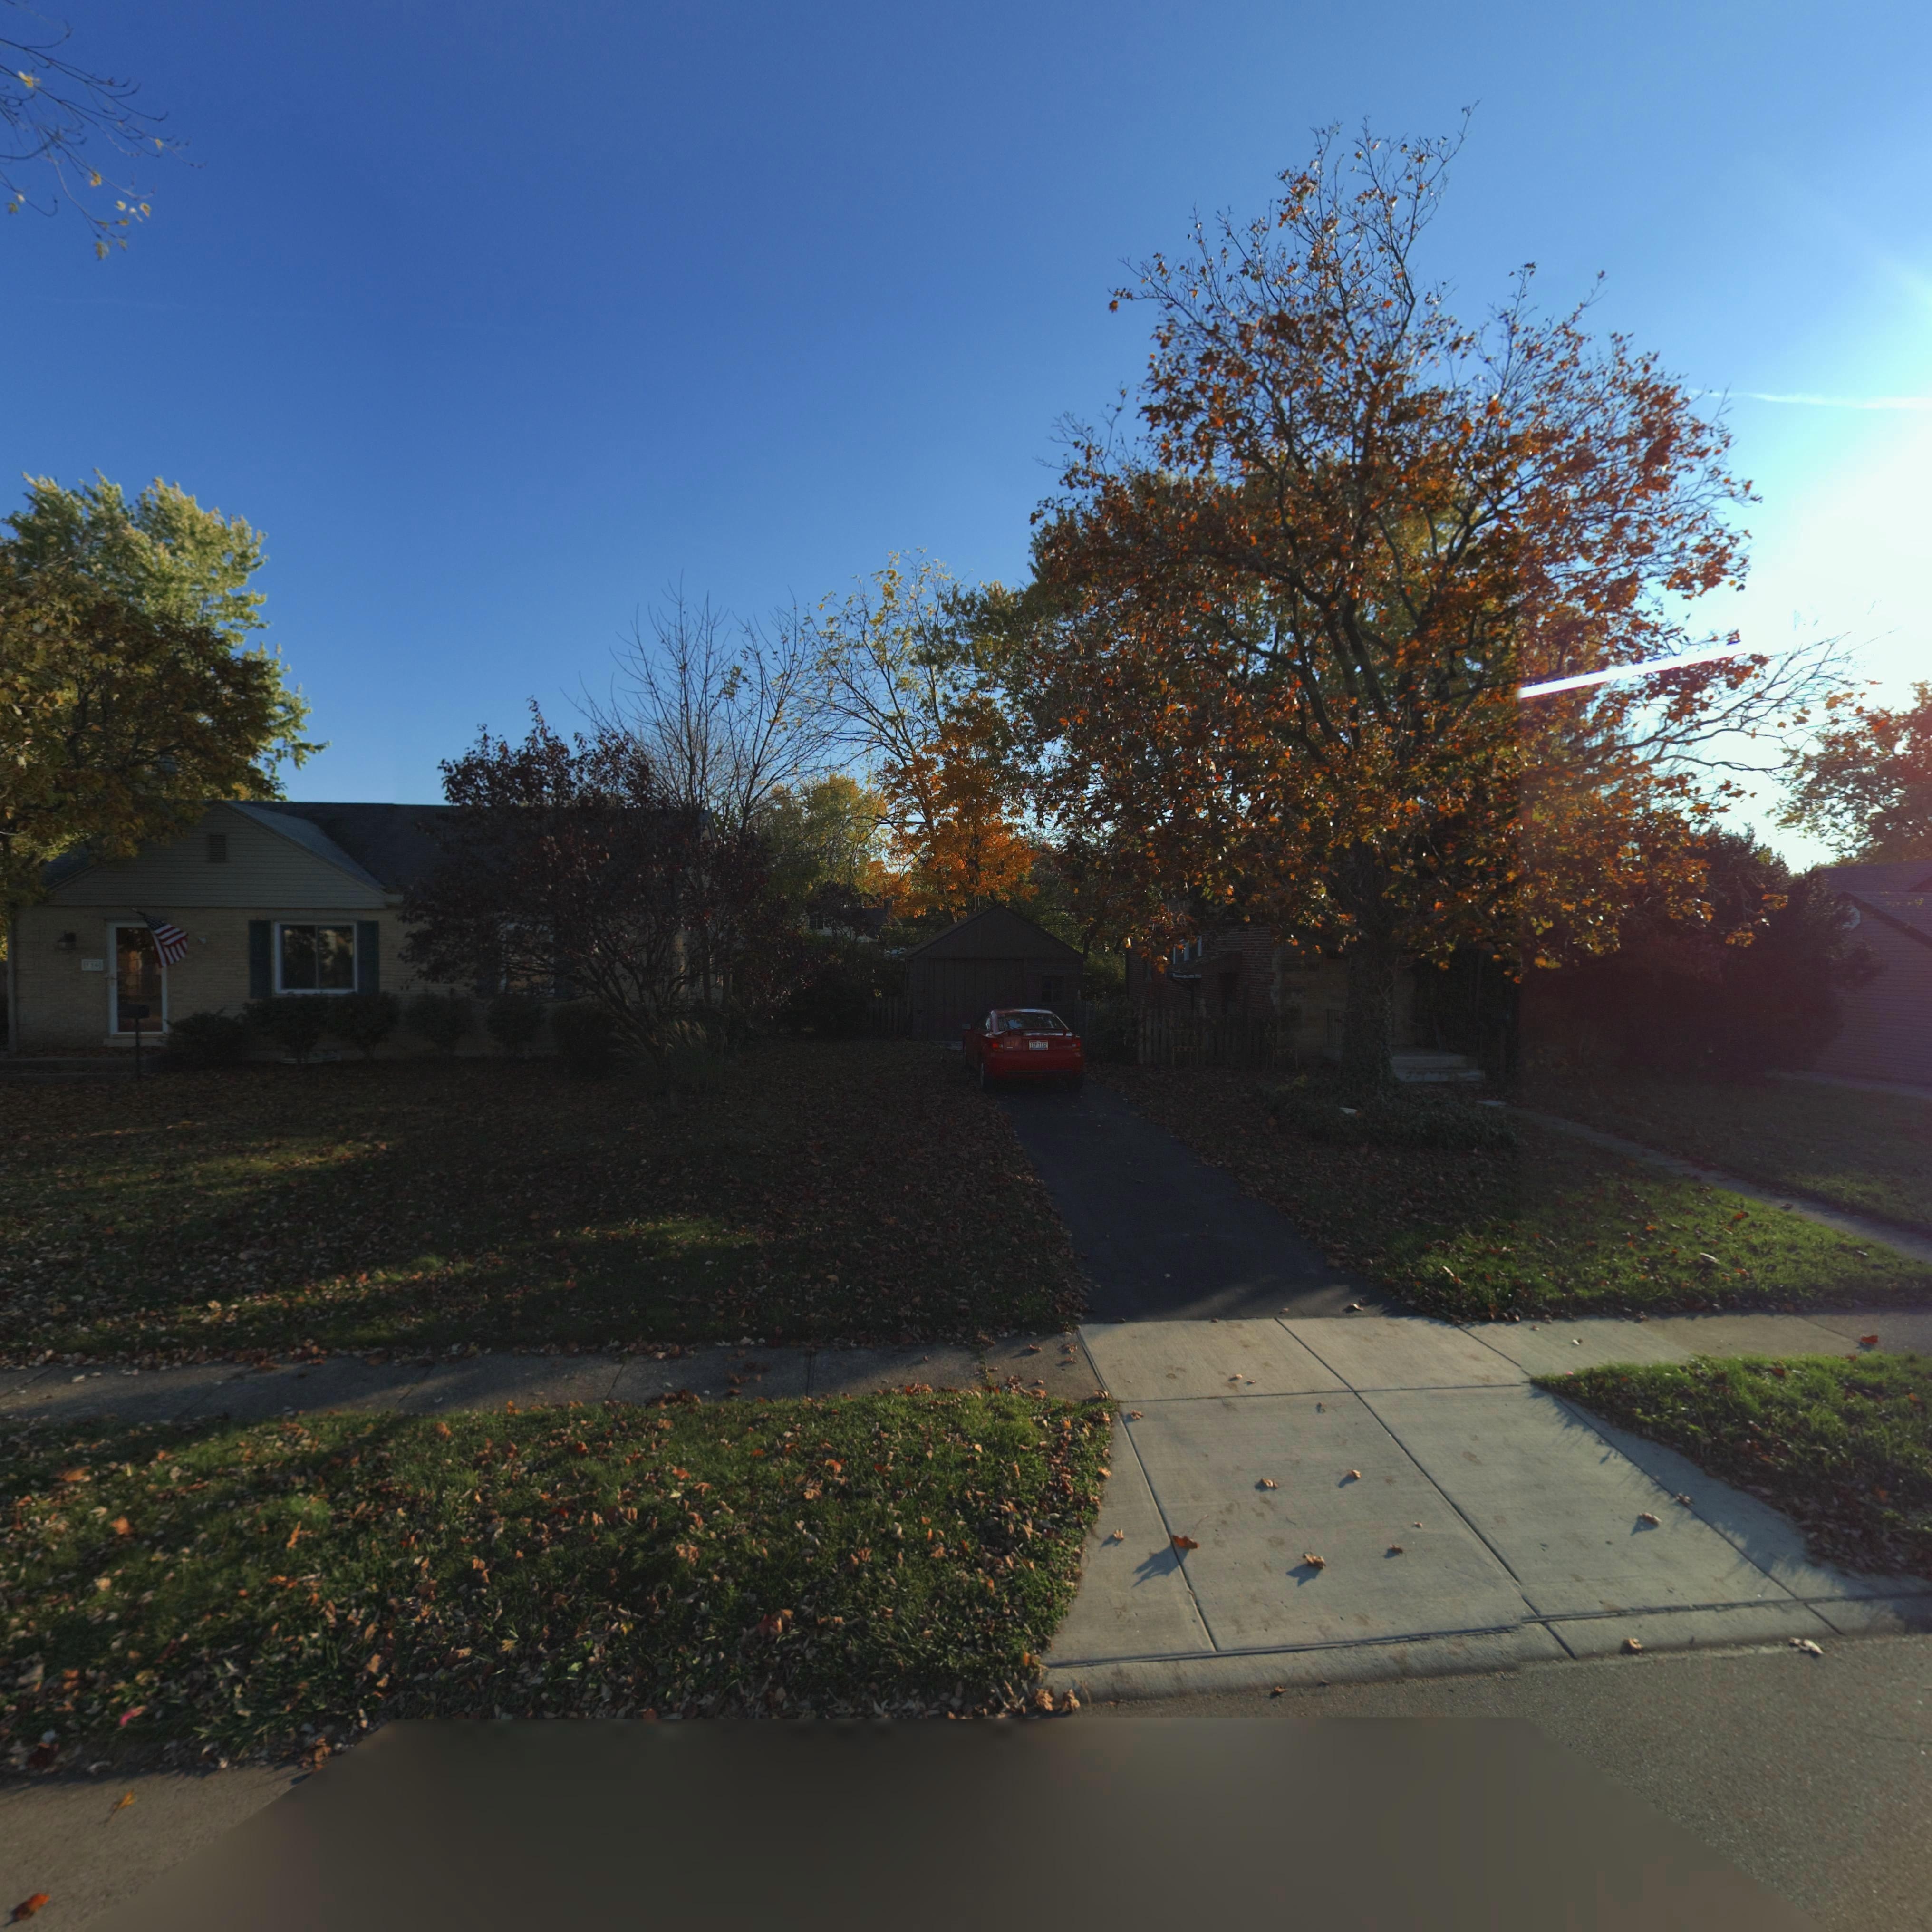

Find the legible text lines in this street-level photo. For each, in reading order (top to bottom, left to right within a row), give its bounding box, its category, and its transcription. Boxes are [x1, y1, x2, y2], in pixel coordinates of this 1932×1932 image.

[84, 961, 100, 968] StreetNumber: 116